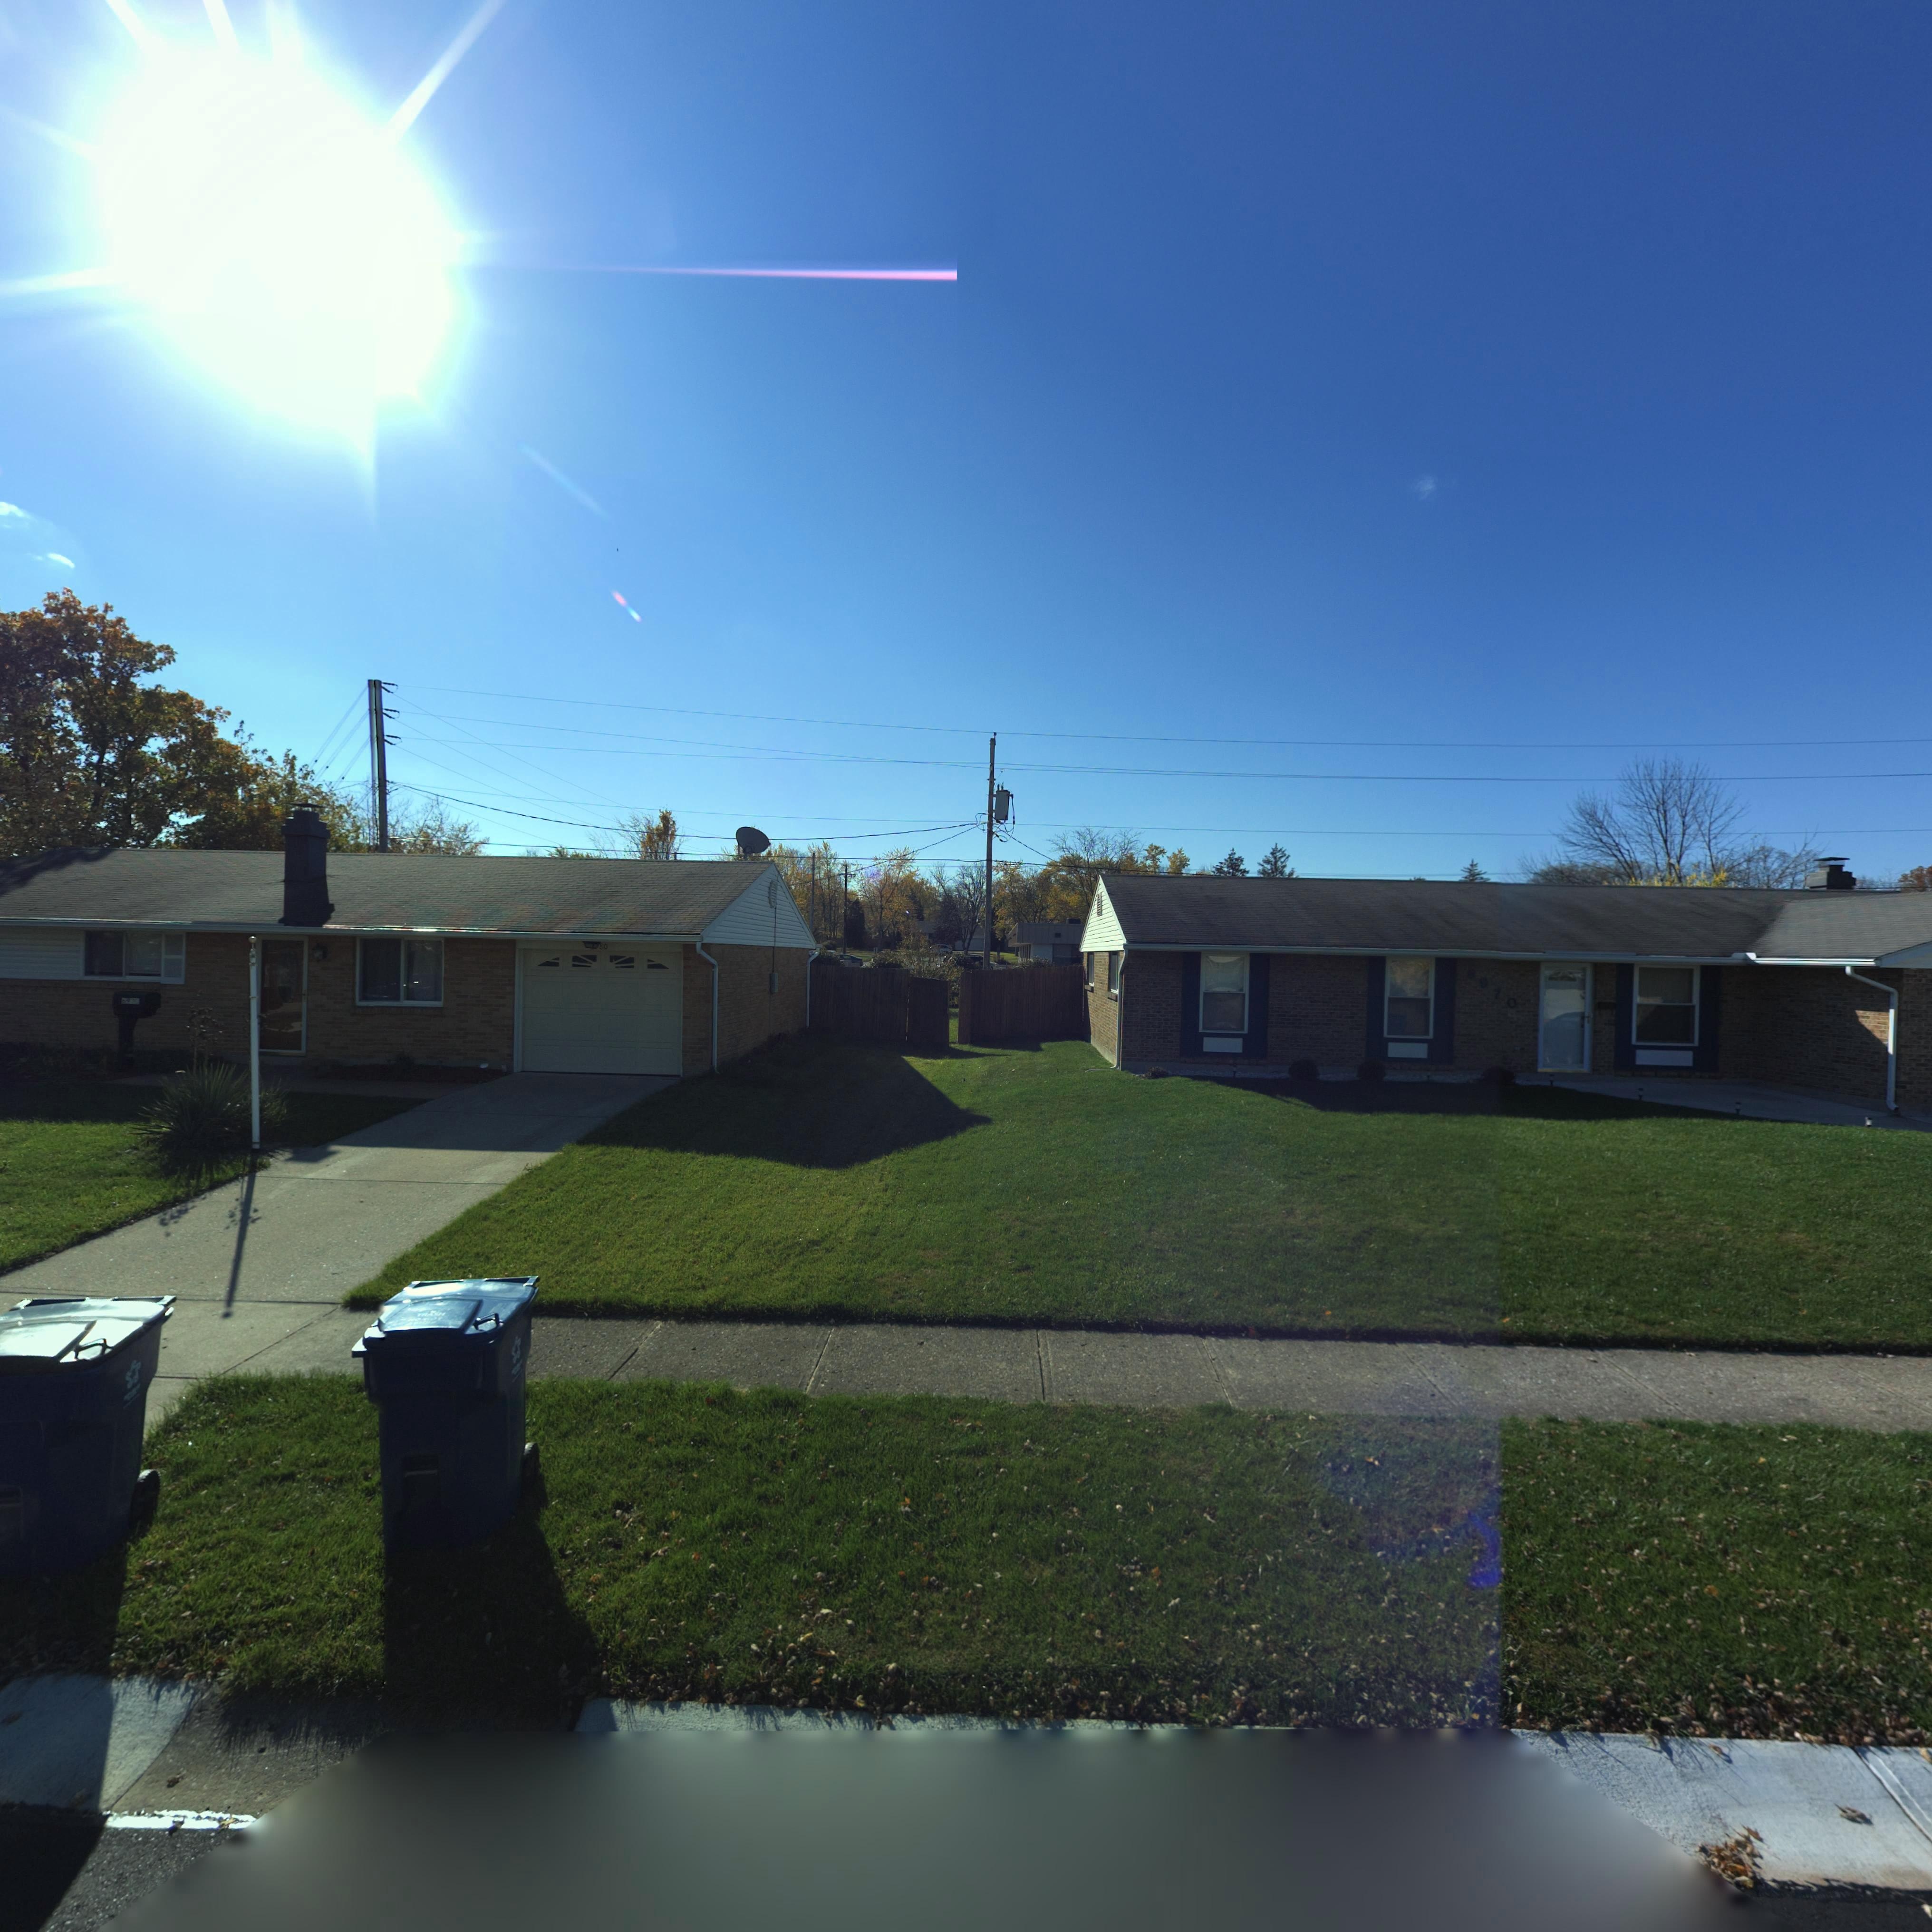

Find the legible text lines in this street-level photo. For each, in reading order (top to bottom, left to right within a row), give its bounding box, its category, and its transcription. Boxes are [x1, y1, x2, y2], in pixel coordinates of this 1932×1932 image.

[599, 943, 609, 950] StreetNumber: 80
[1466, 968, 1517, 1010] StreetNumber: 6970
[121, 997, 139, 1005] StreetNumber: 69*0